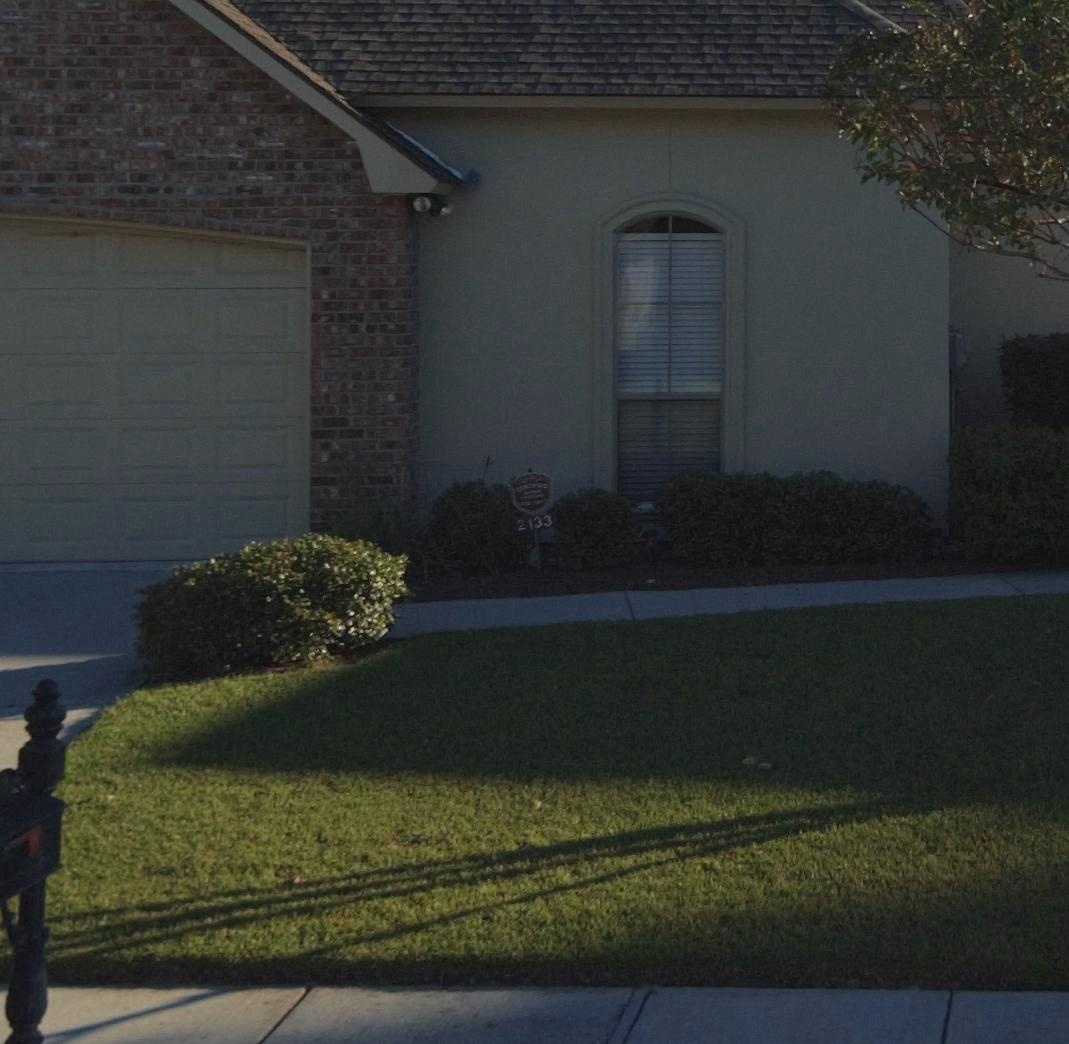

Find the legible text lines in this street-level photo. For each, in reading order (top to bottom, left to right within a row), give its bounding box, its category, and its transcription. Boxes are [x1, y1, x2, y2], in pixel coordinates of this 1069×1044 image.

[514, 510, 557, 535] StreetNumber: 2133